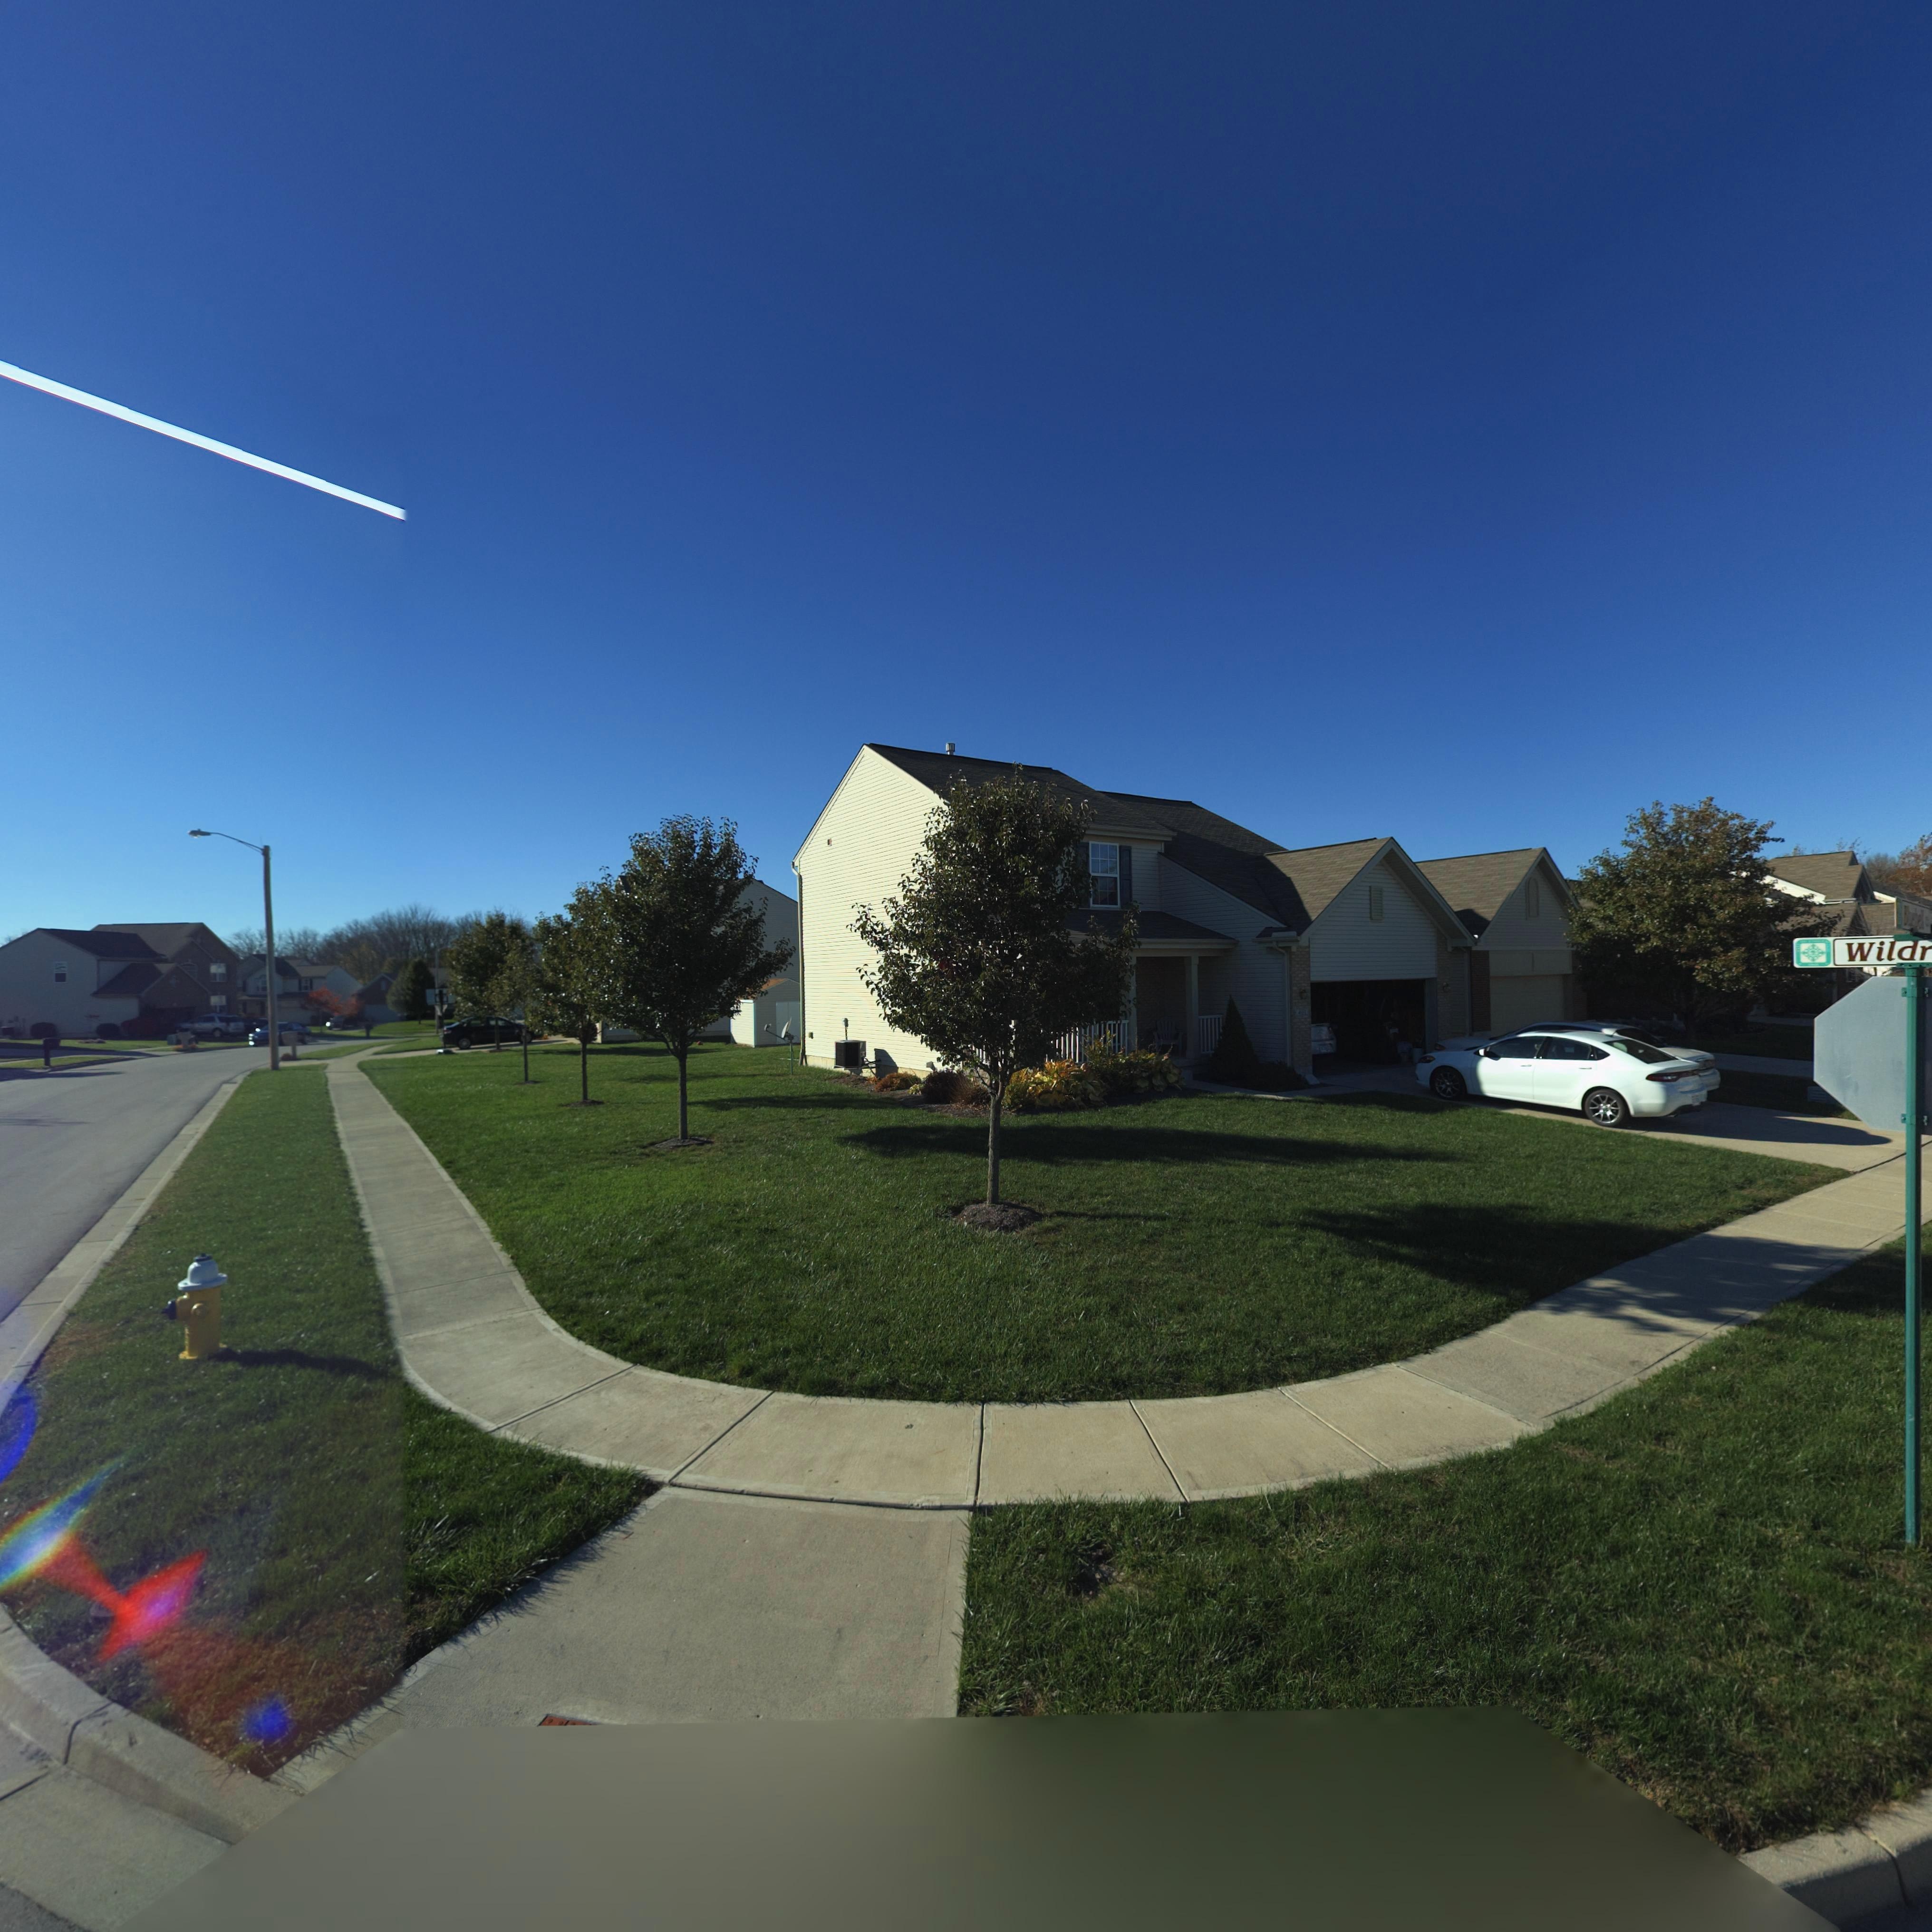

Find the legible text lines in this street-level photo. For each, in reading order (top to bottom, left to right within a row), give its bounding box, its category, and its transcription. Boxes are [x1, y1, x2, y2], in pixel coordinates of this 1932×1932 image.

[1845, 939, 1932, 962] StreetName: Wildr
[1297, 1009, 1307, 1015] StreetNumber: 401